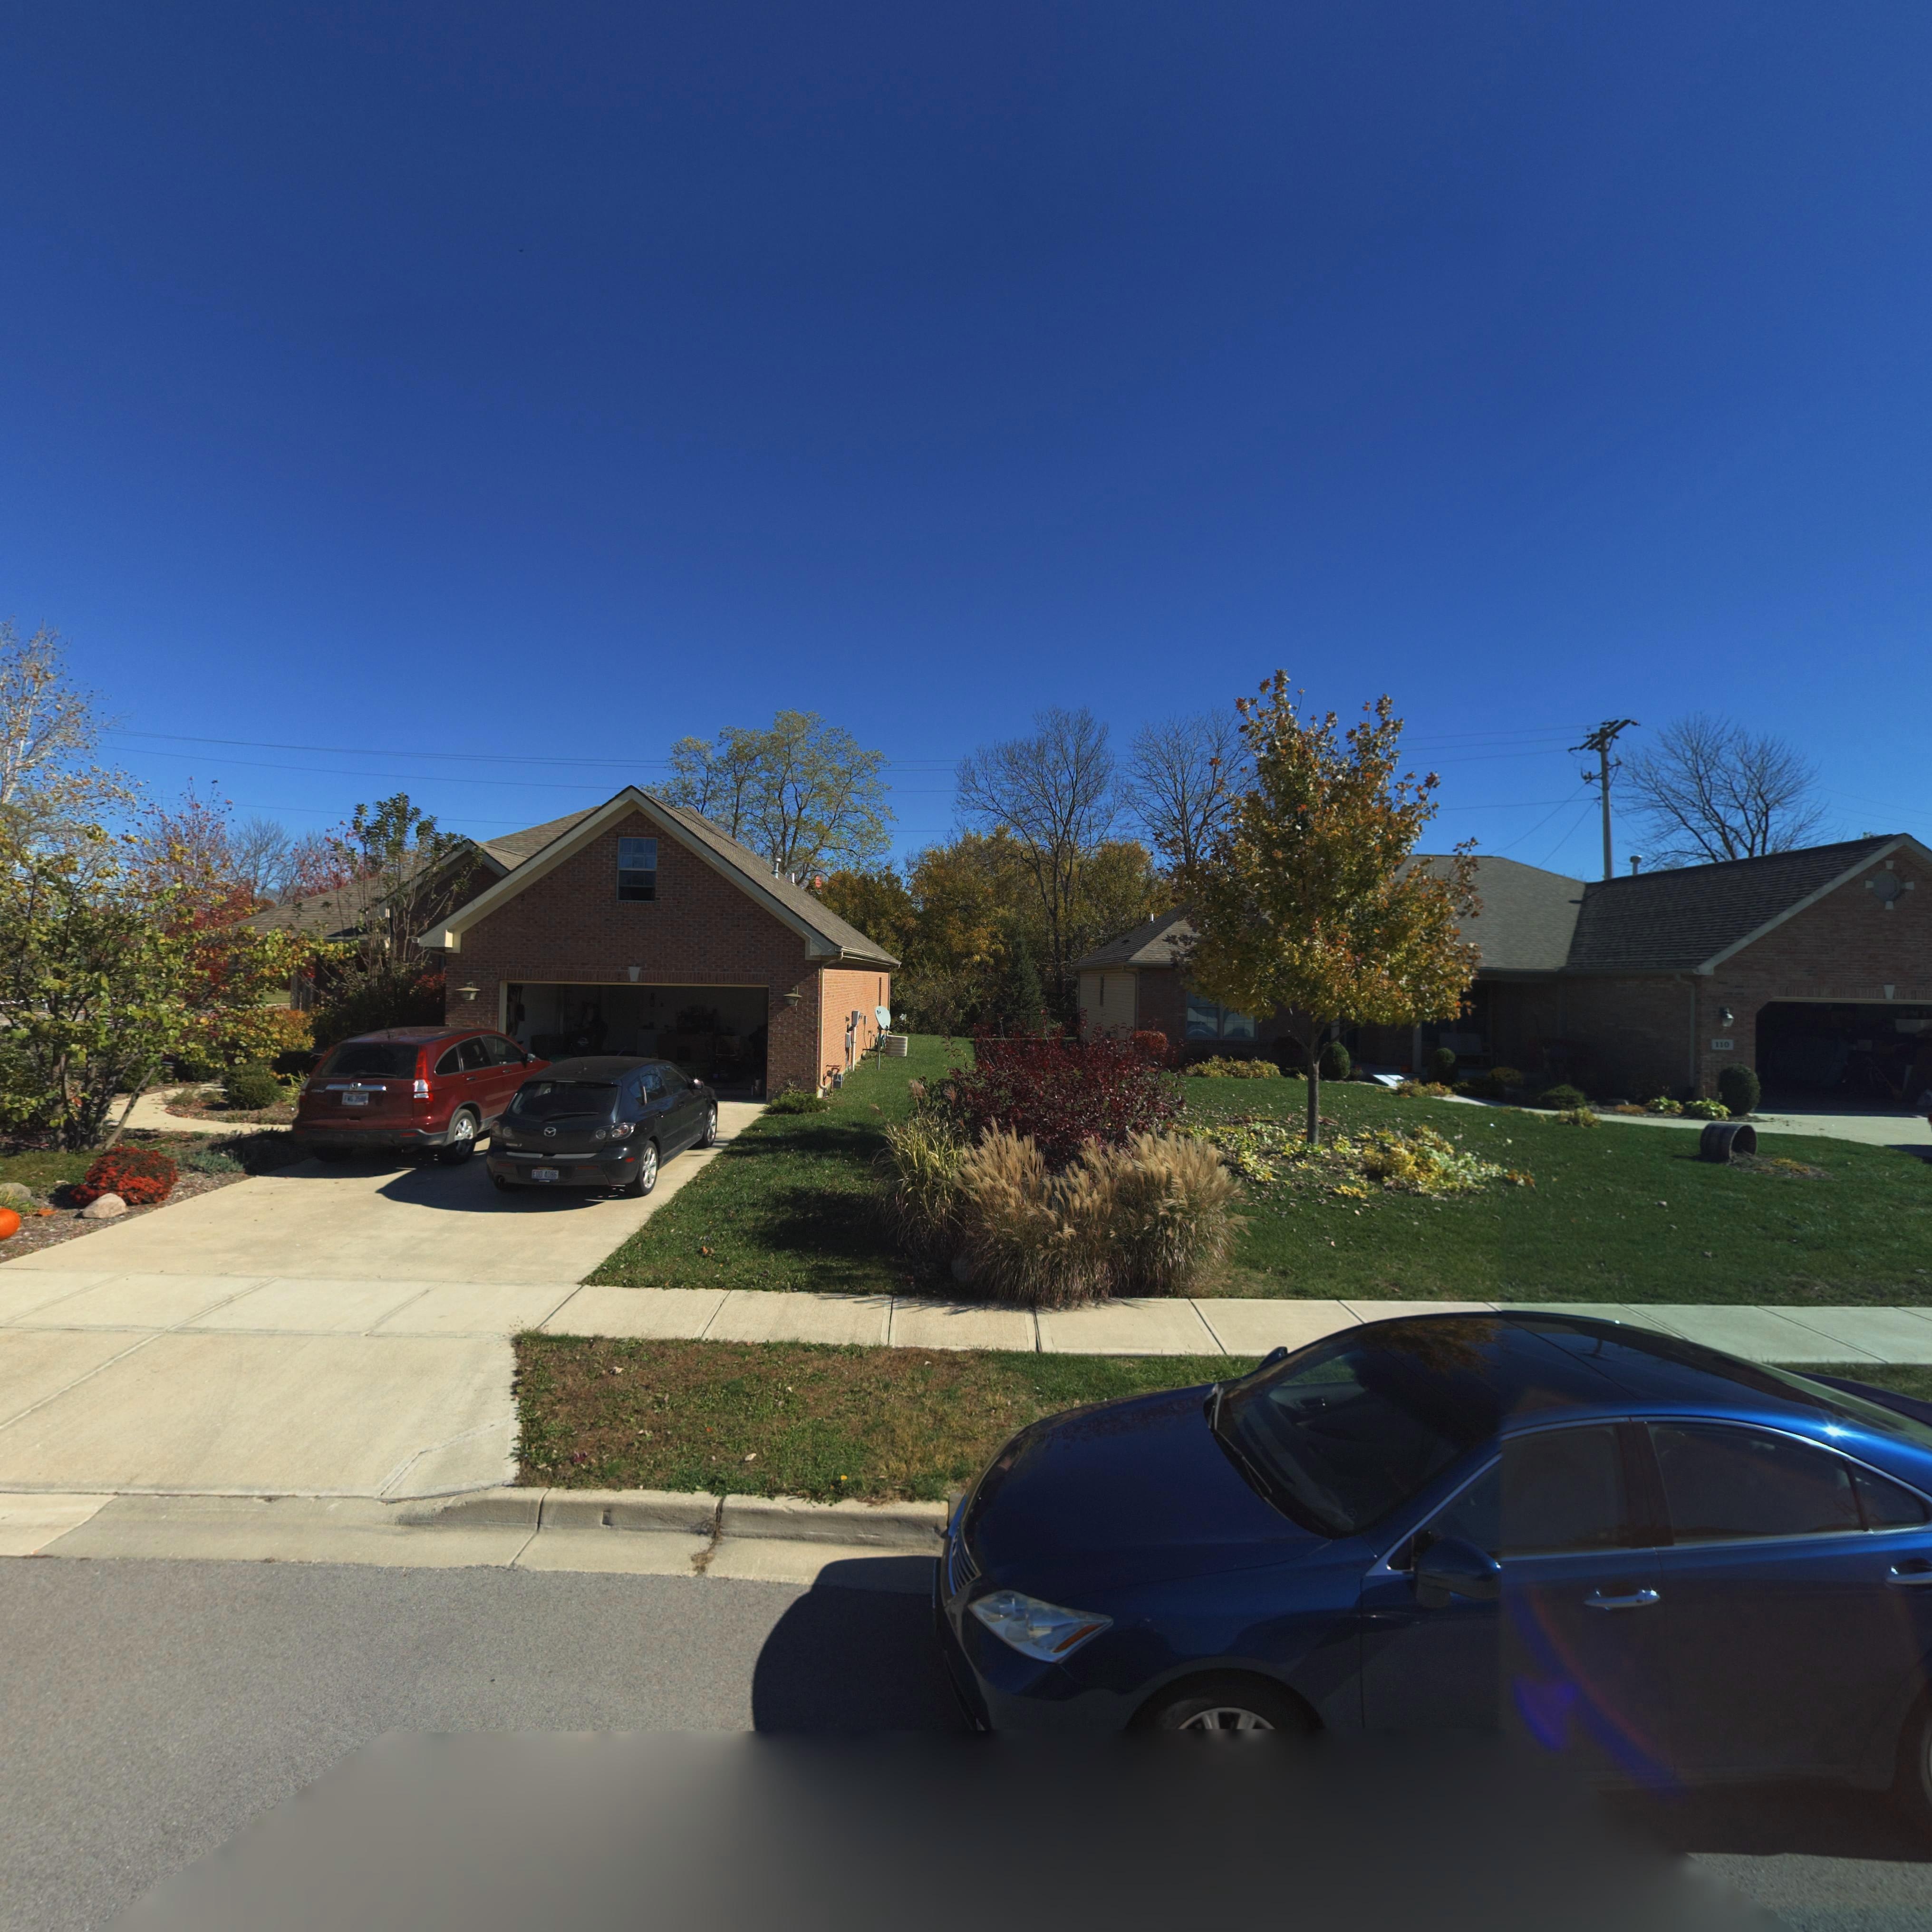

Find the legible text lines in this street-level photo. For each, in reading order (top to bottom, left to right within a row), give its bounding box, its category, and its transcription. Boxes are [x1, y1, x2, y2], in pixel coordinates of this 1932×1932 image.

[1715, 1041, 1730, 1049] StreetNumber: 110